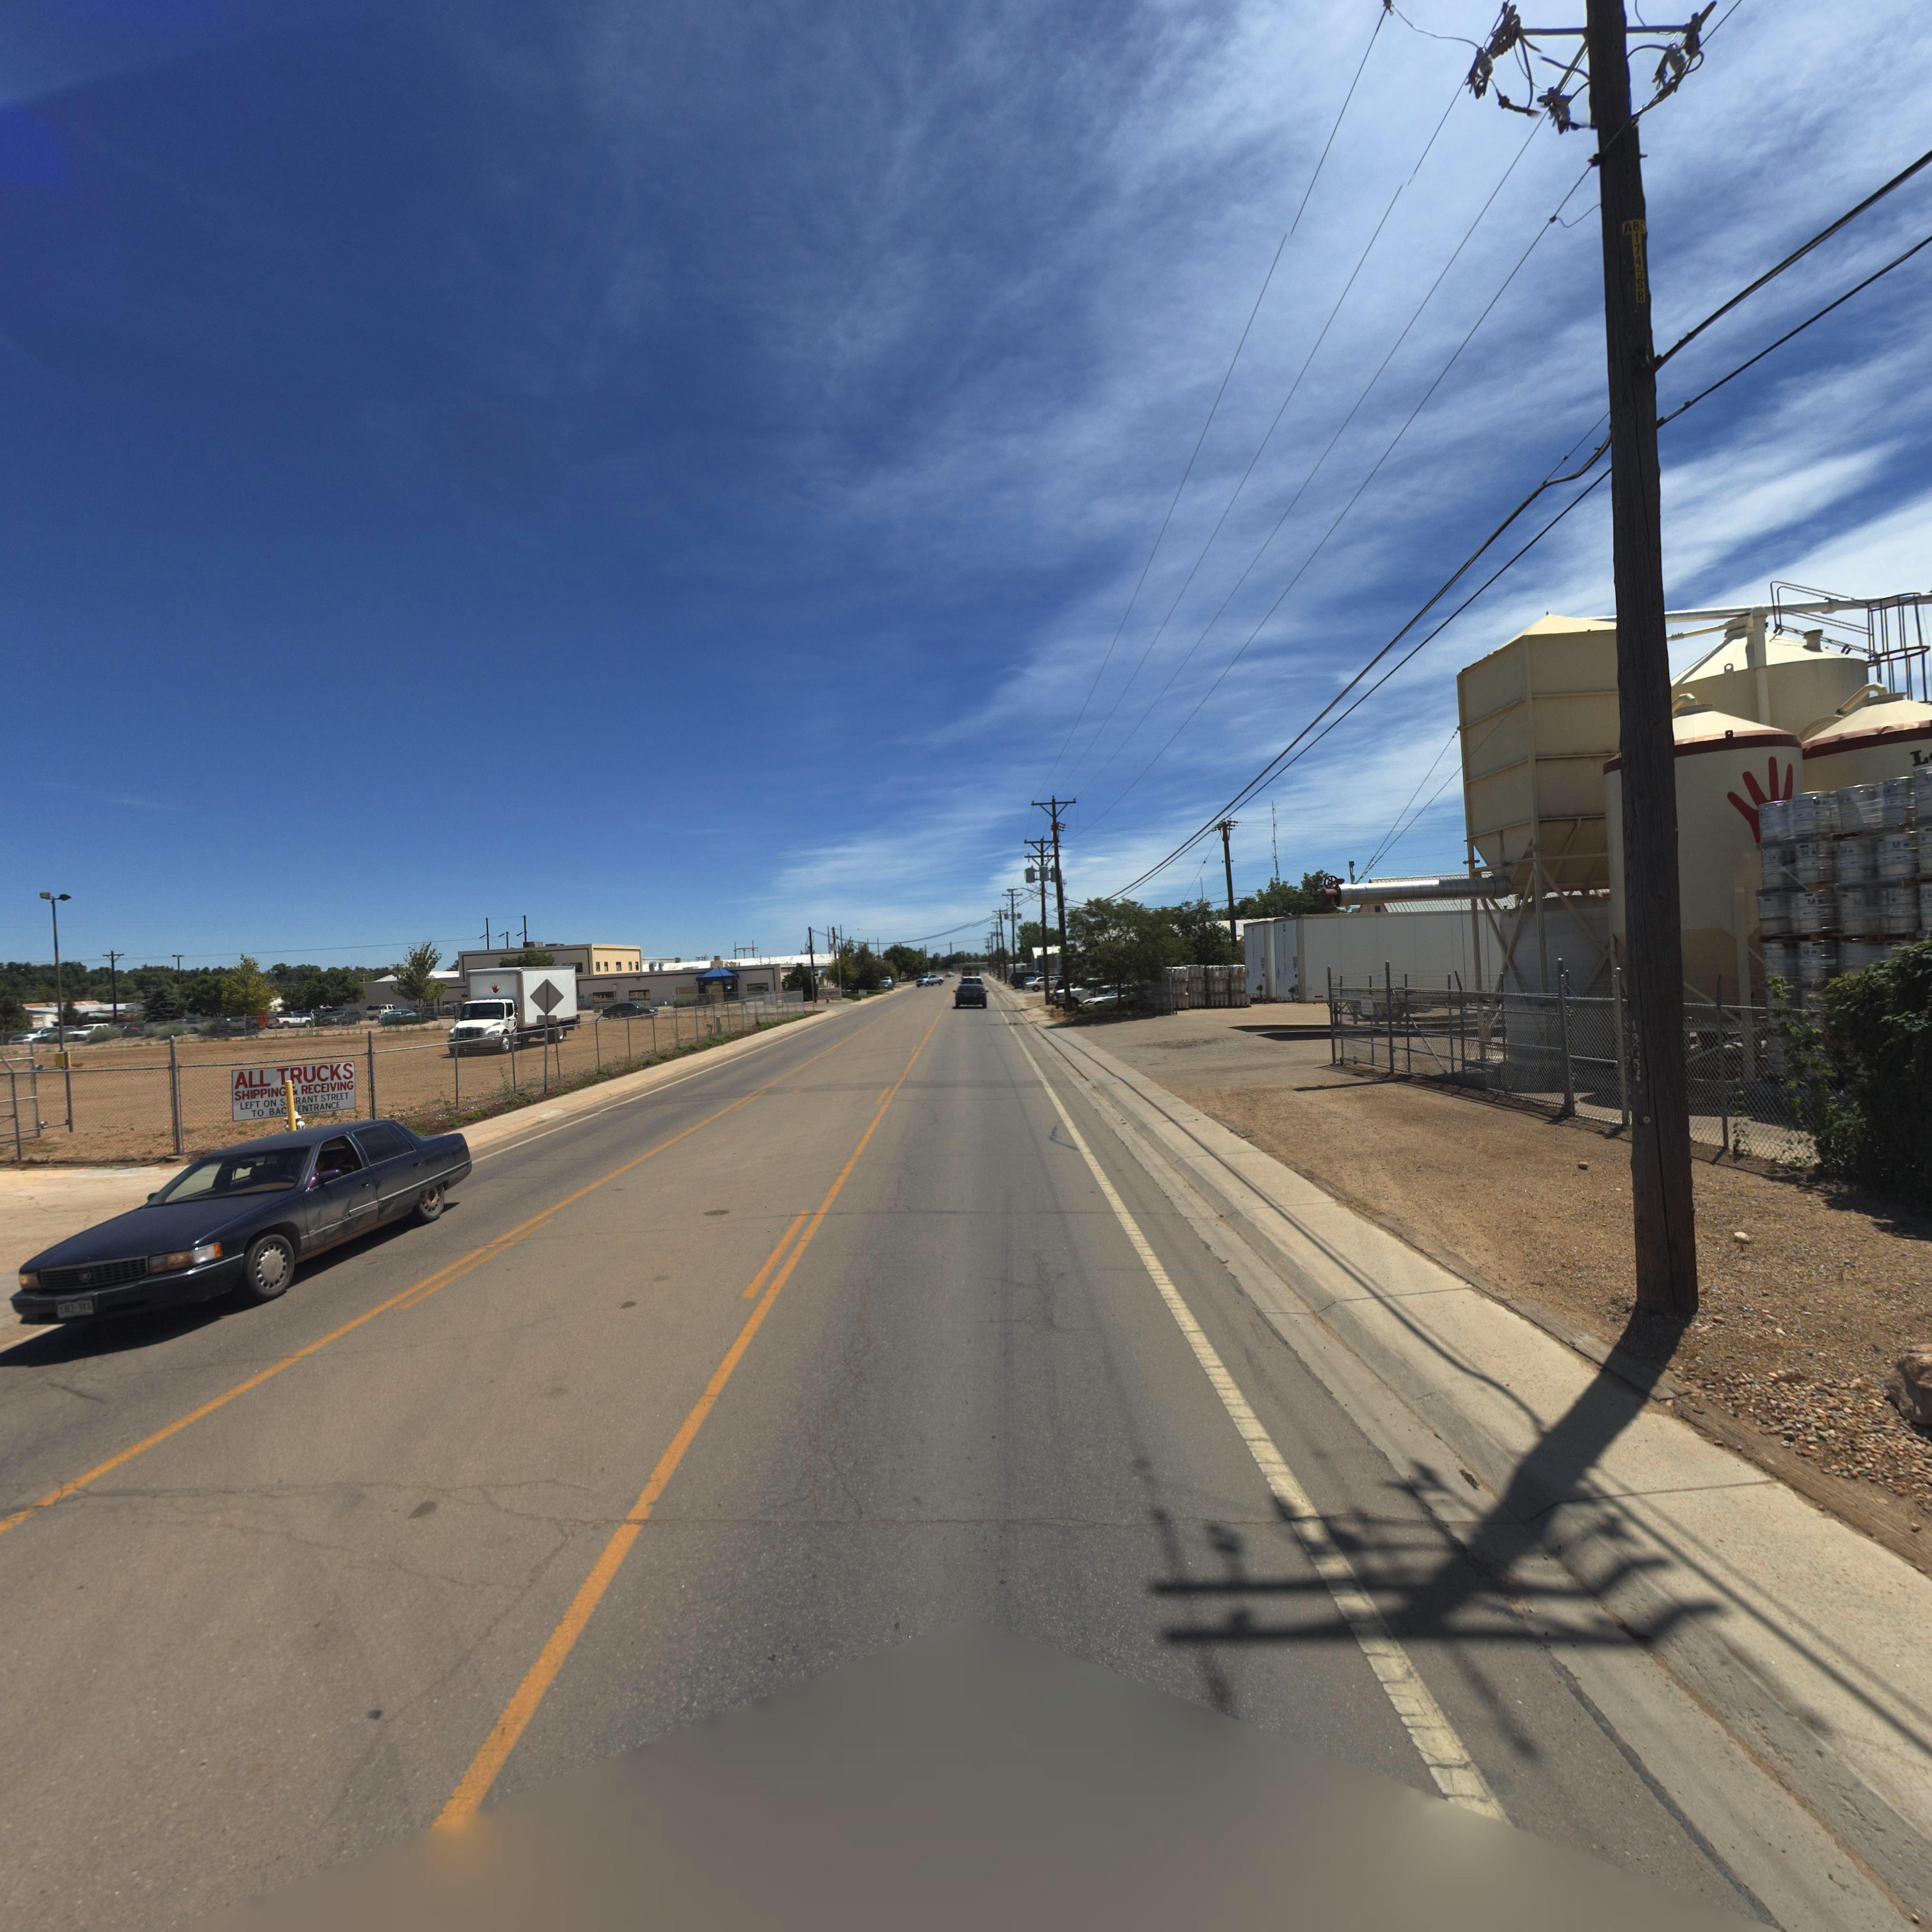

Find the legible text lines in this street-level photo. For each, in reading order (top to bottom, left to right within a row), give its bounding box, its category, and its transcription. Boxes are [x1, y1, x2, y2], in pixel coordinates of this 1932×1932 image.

[280, 1092, 348, 1106] StreetName: S *RANT STREET